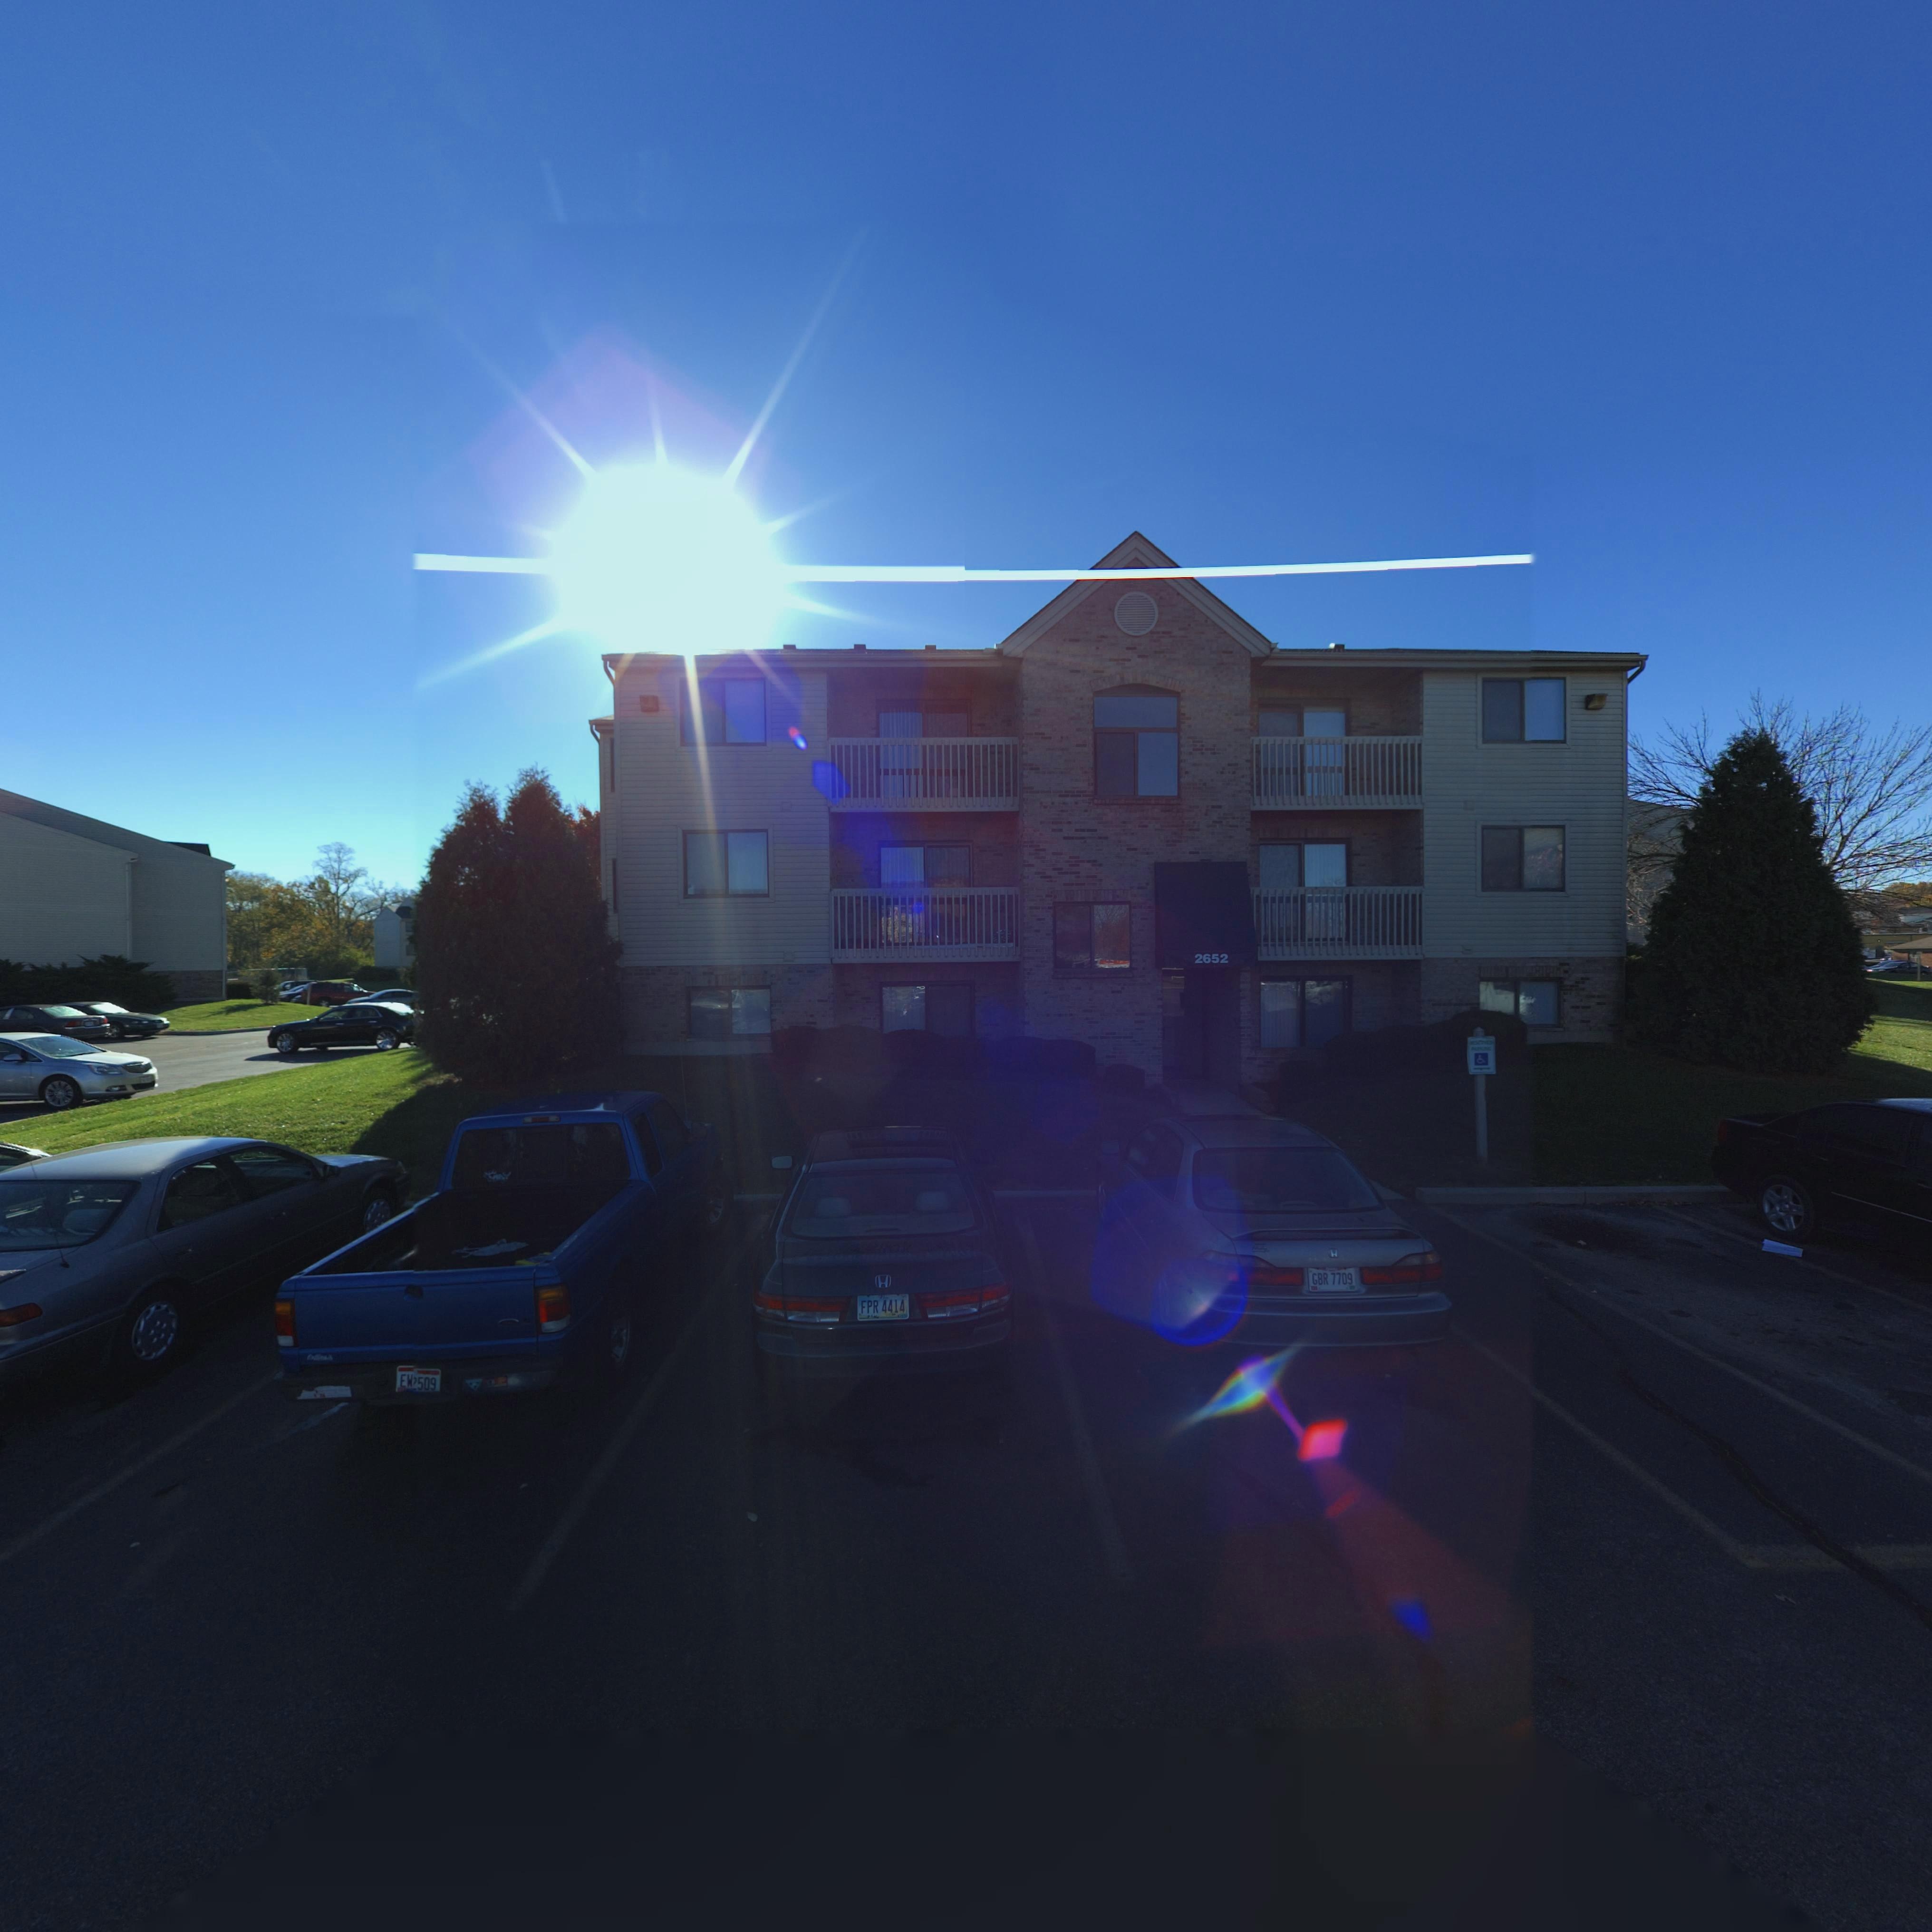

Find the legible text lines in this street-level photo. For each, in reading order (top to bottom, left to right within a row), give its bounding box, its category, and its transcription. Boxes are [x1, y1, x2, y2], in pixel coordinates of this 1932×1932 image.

[1194, 953, 1229, 965] StreetNumber: 2652